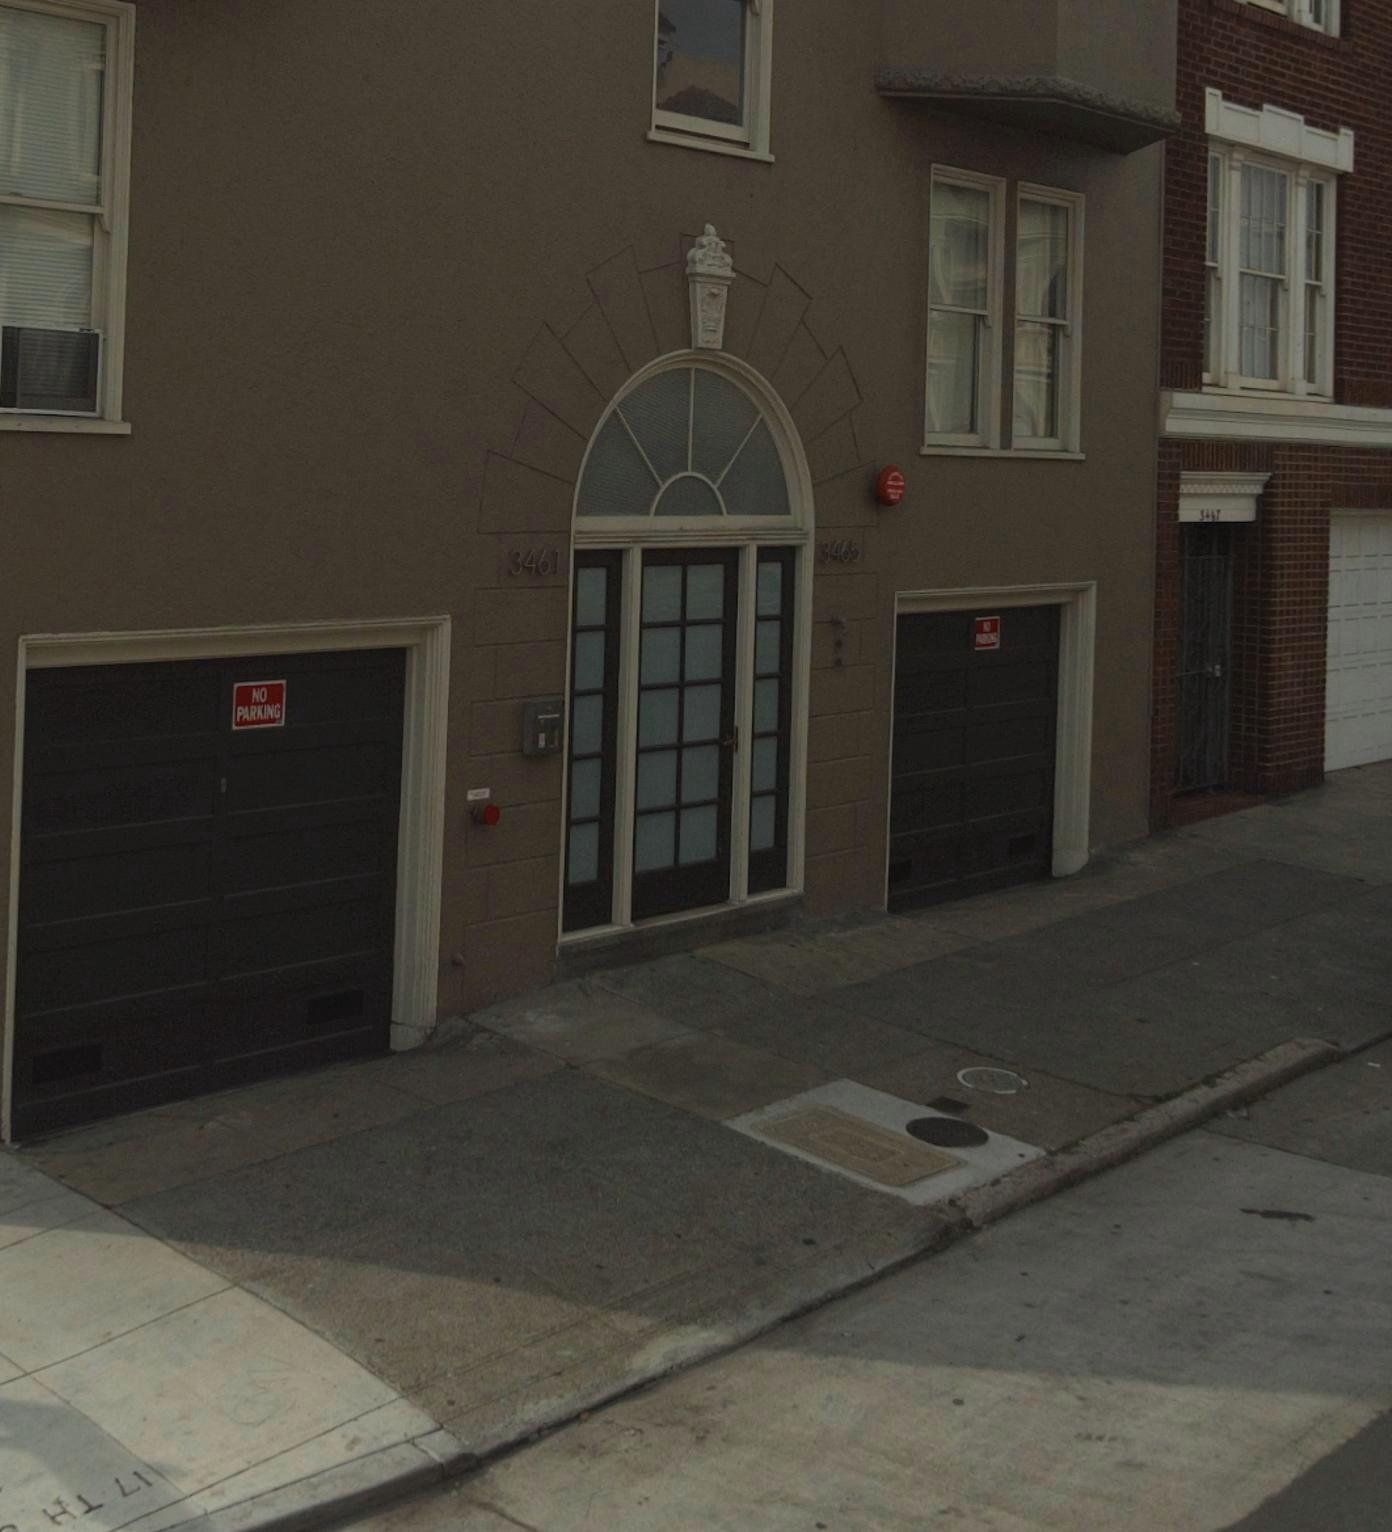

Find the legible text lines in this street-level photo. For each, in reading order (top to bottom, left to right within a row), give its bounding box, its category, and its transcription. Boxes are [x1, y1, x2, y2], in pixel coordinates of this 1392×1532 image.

[1197, 508, 1222, 522] StreetNumber: 3467
[510, 546, 563, 576] StreetNumber: 3461
[820, 538, 862, 564] StreetNumber: 3465
[250, 685, 269, 705] None: NO
[234, 701, 283, 723] None: PARKING